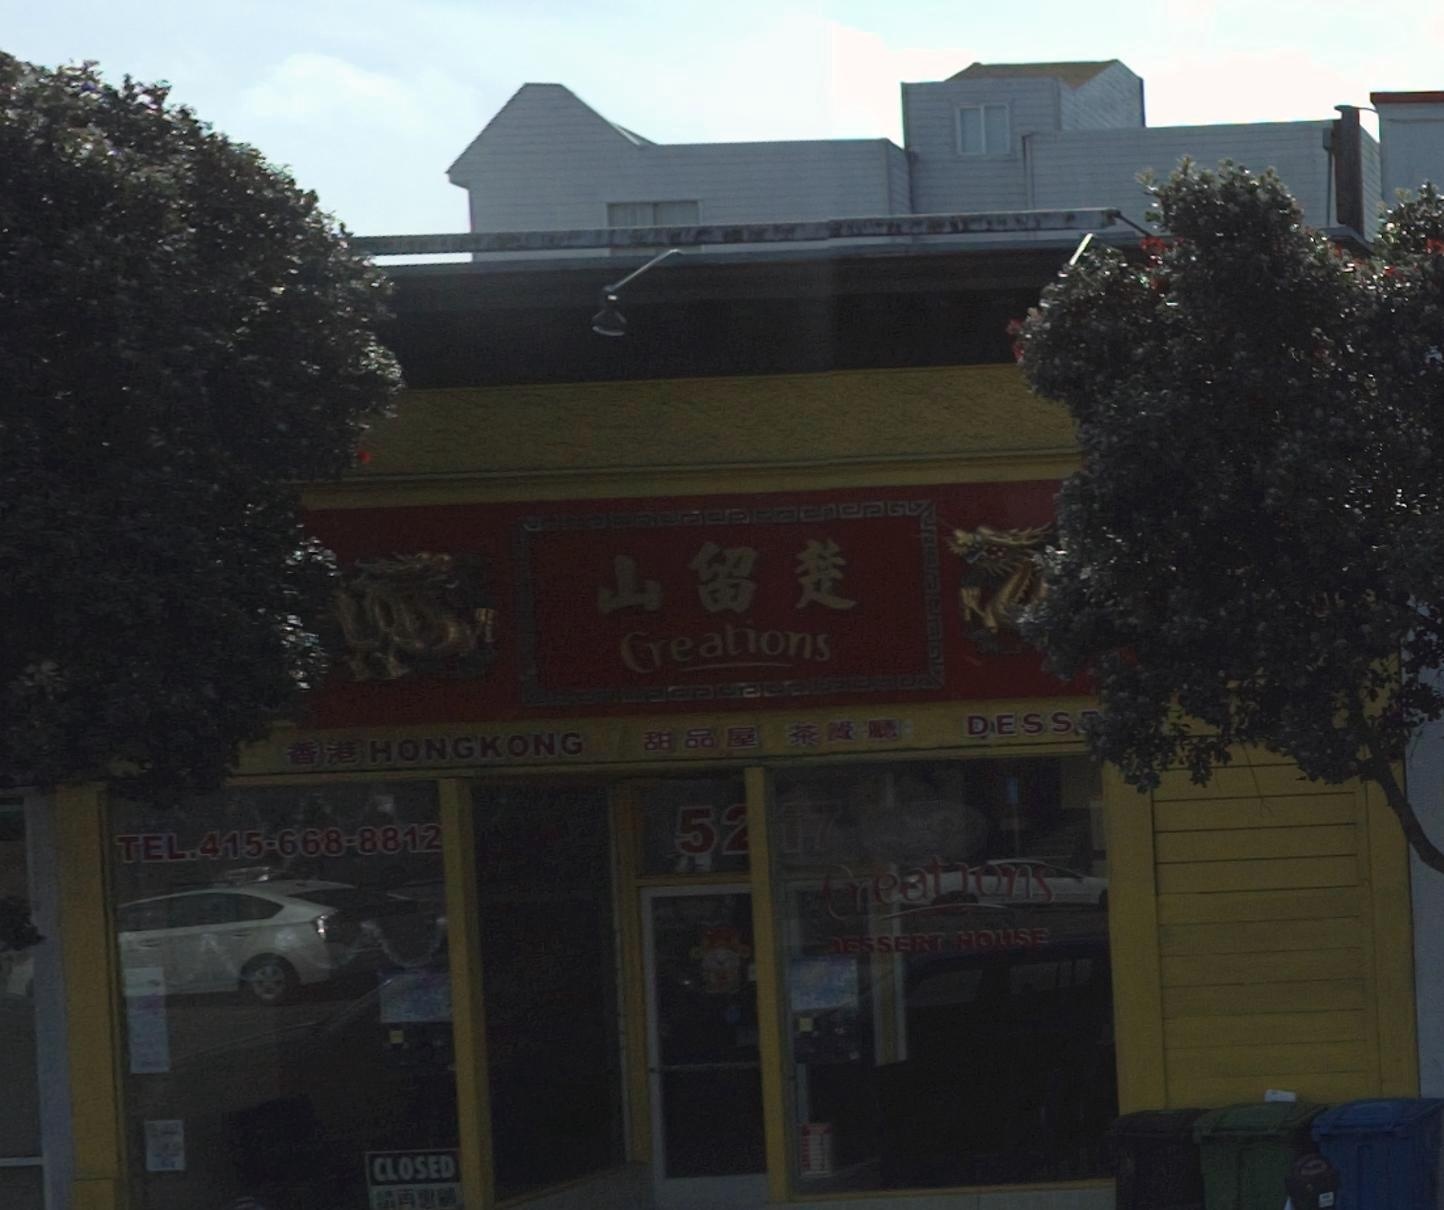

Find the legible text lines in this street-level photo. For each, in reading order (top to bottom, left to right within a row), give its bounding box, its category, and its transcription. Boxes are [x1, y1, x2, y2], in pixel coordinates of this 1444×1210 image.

[616, 617, 837, 677] BusinessName: Creations
[364, 729, 585, 766] None: HONGKONG
[962, 706, 1103, 740] None: DESS*
[108, 818, 446, 868] None: TEL.415-668-8812
[674, 796, 851, 858] StreetNumber: 5*17
[820, 851, 1059, 924] BusinessName: Creations
[821, 924, 1050, 960] None: DESSERT HOUSE
[370, 1151, 458, 1186] None: CLOSED